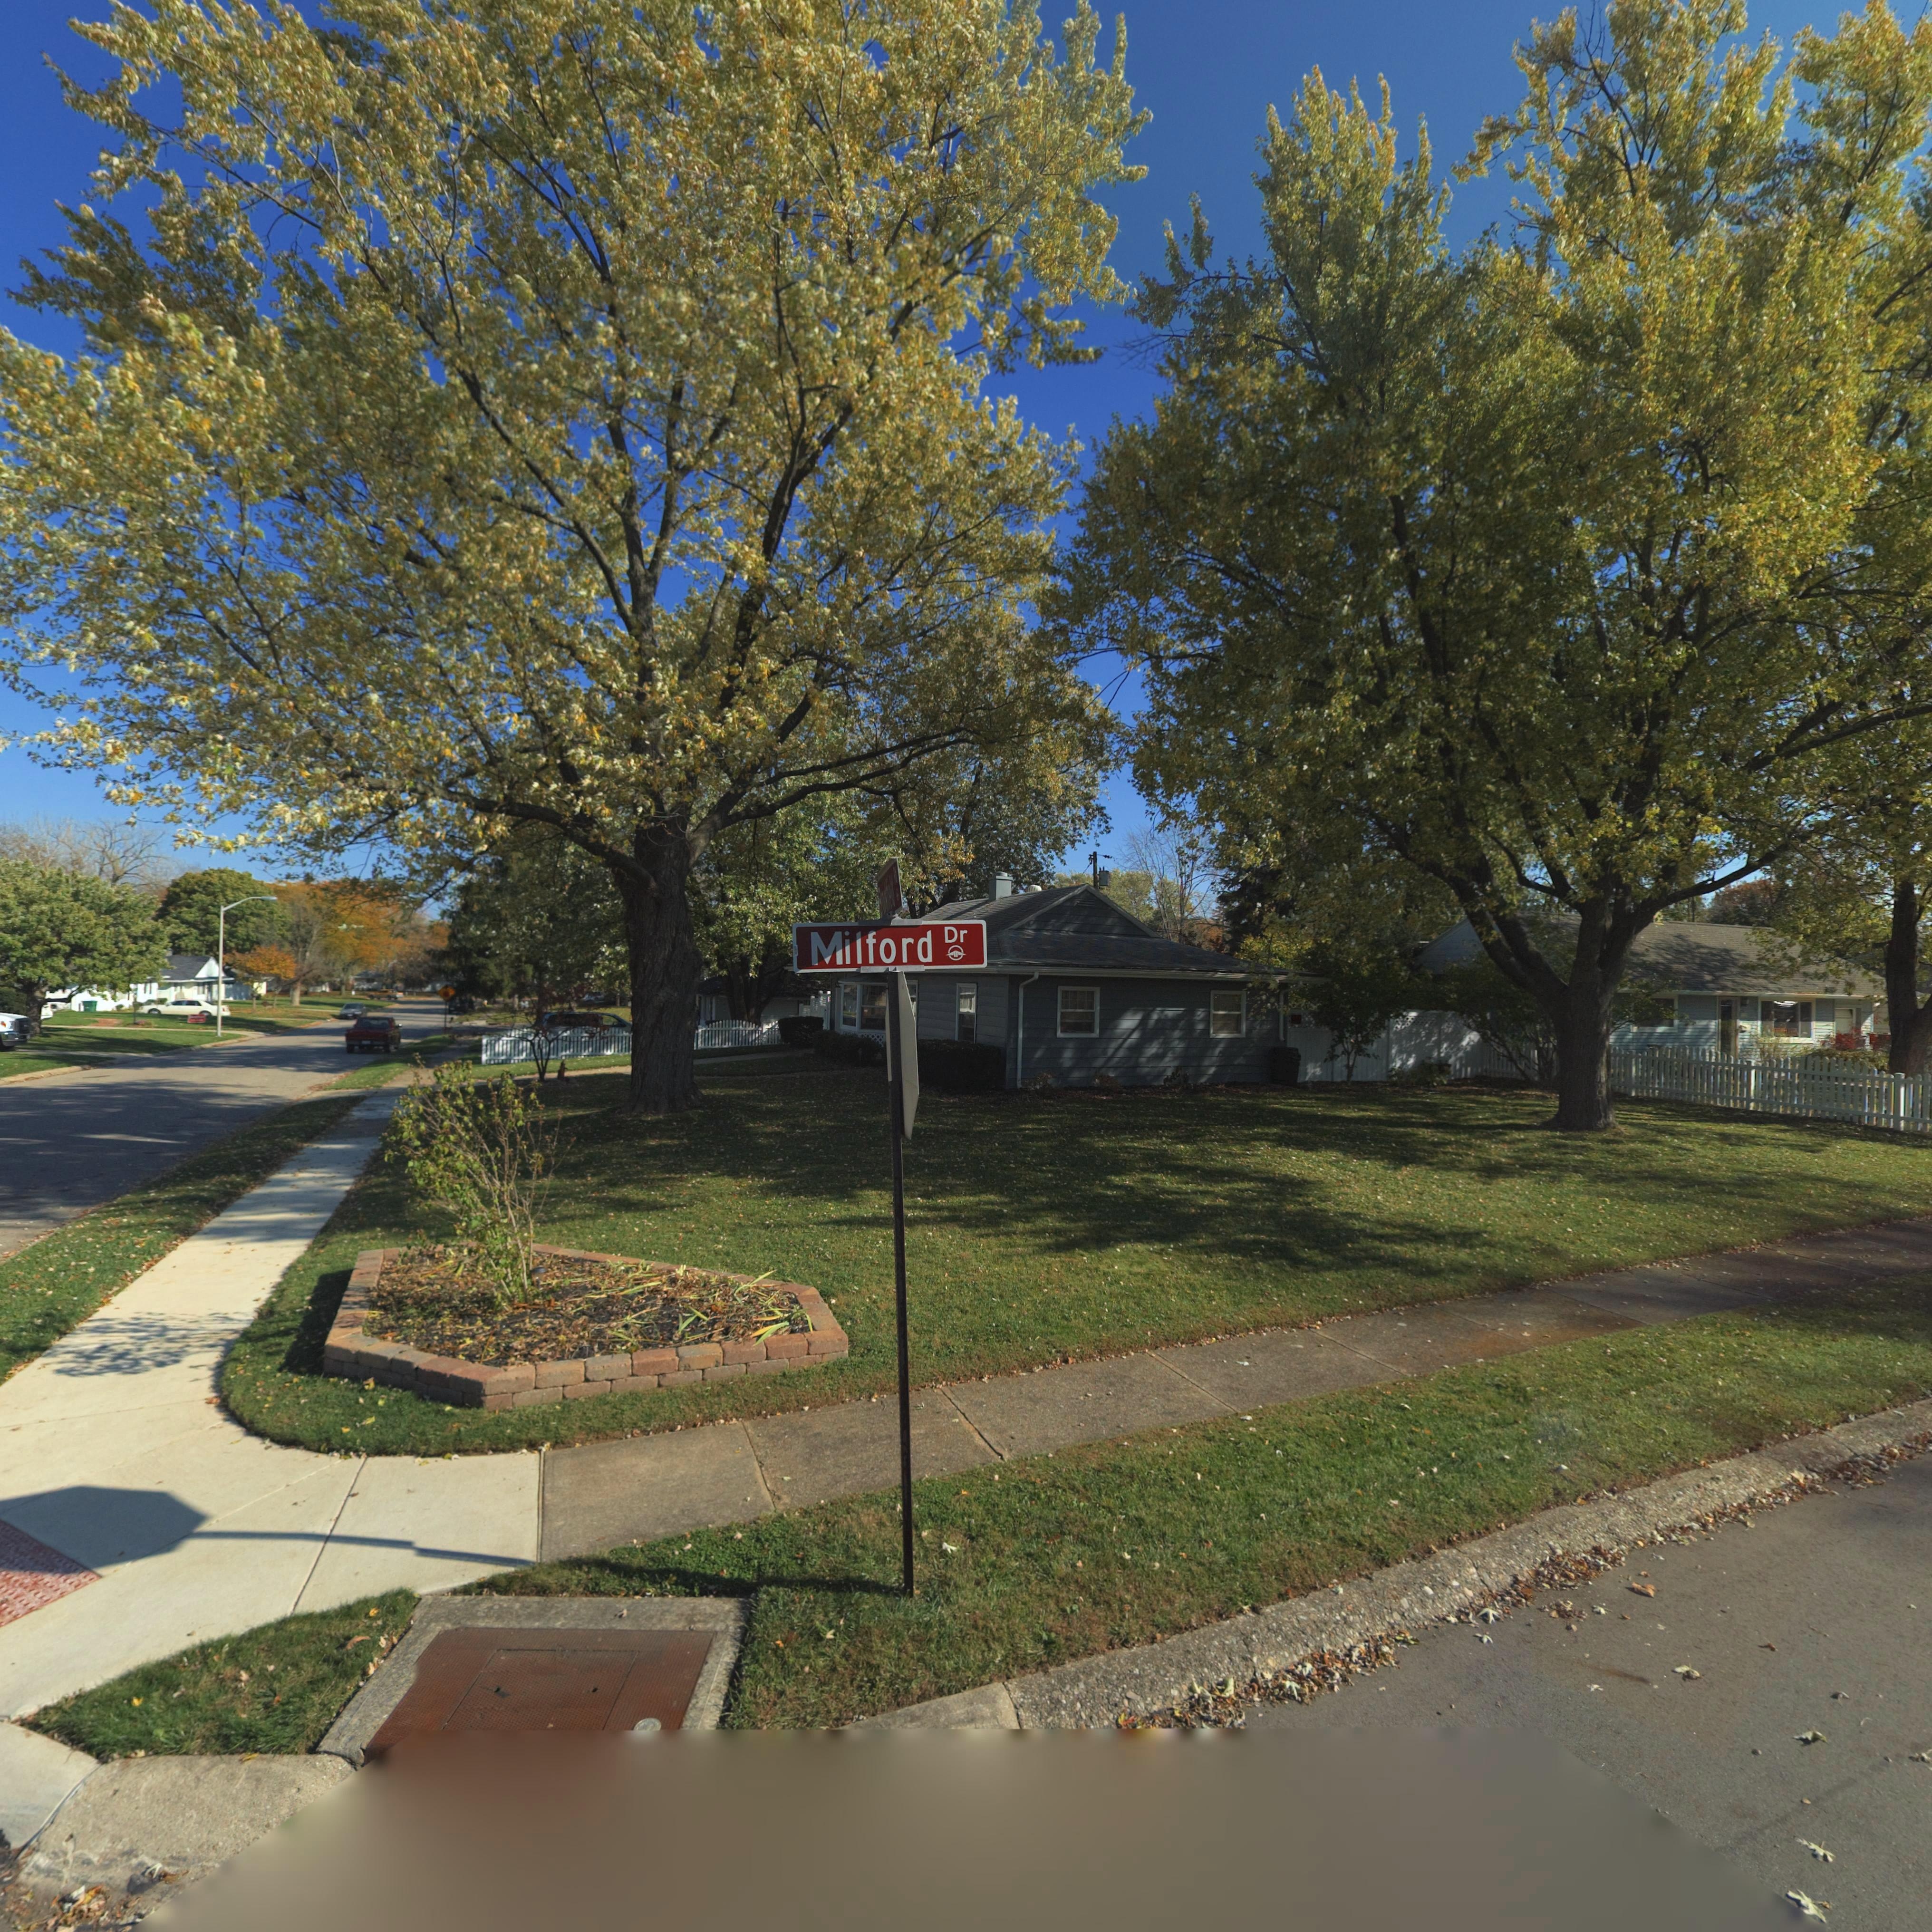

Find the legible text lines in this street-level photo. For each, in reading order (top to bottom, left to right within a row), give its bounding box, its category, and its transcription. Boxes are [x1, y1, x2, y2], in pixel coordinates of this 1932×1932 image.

[810, 925, 969, 966] StreetName: Milford Dr